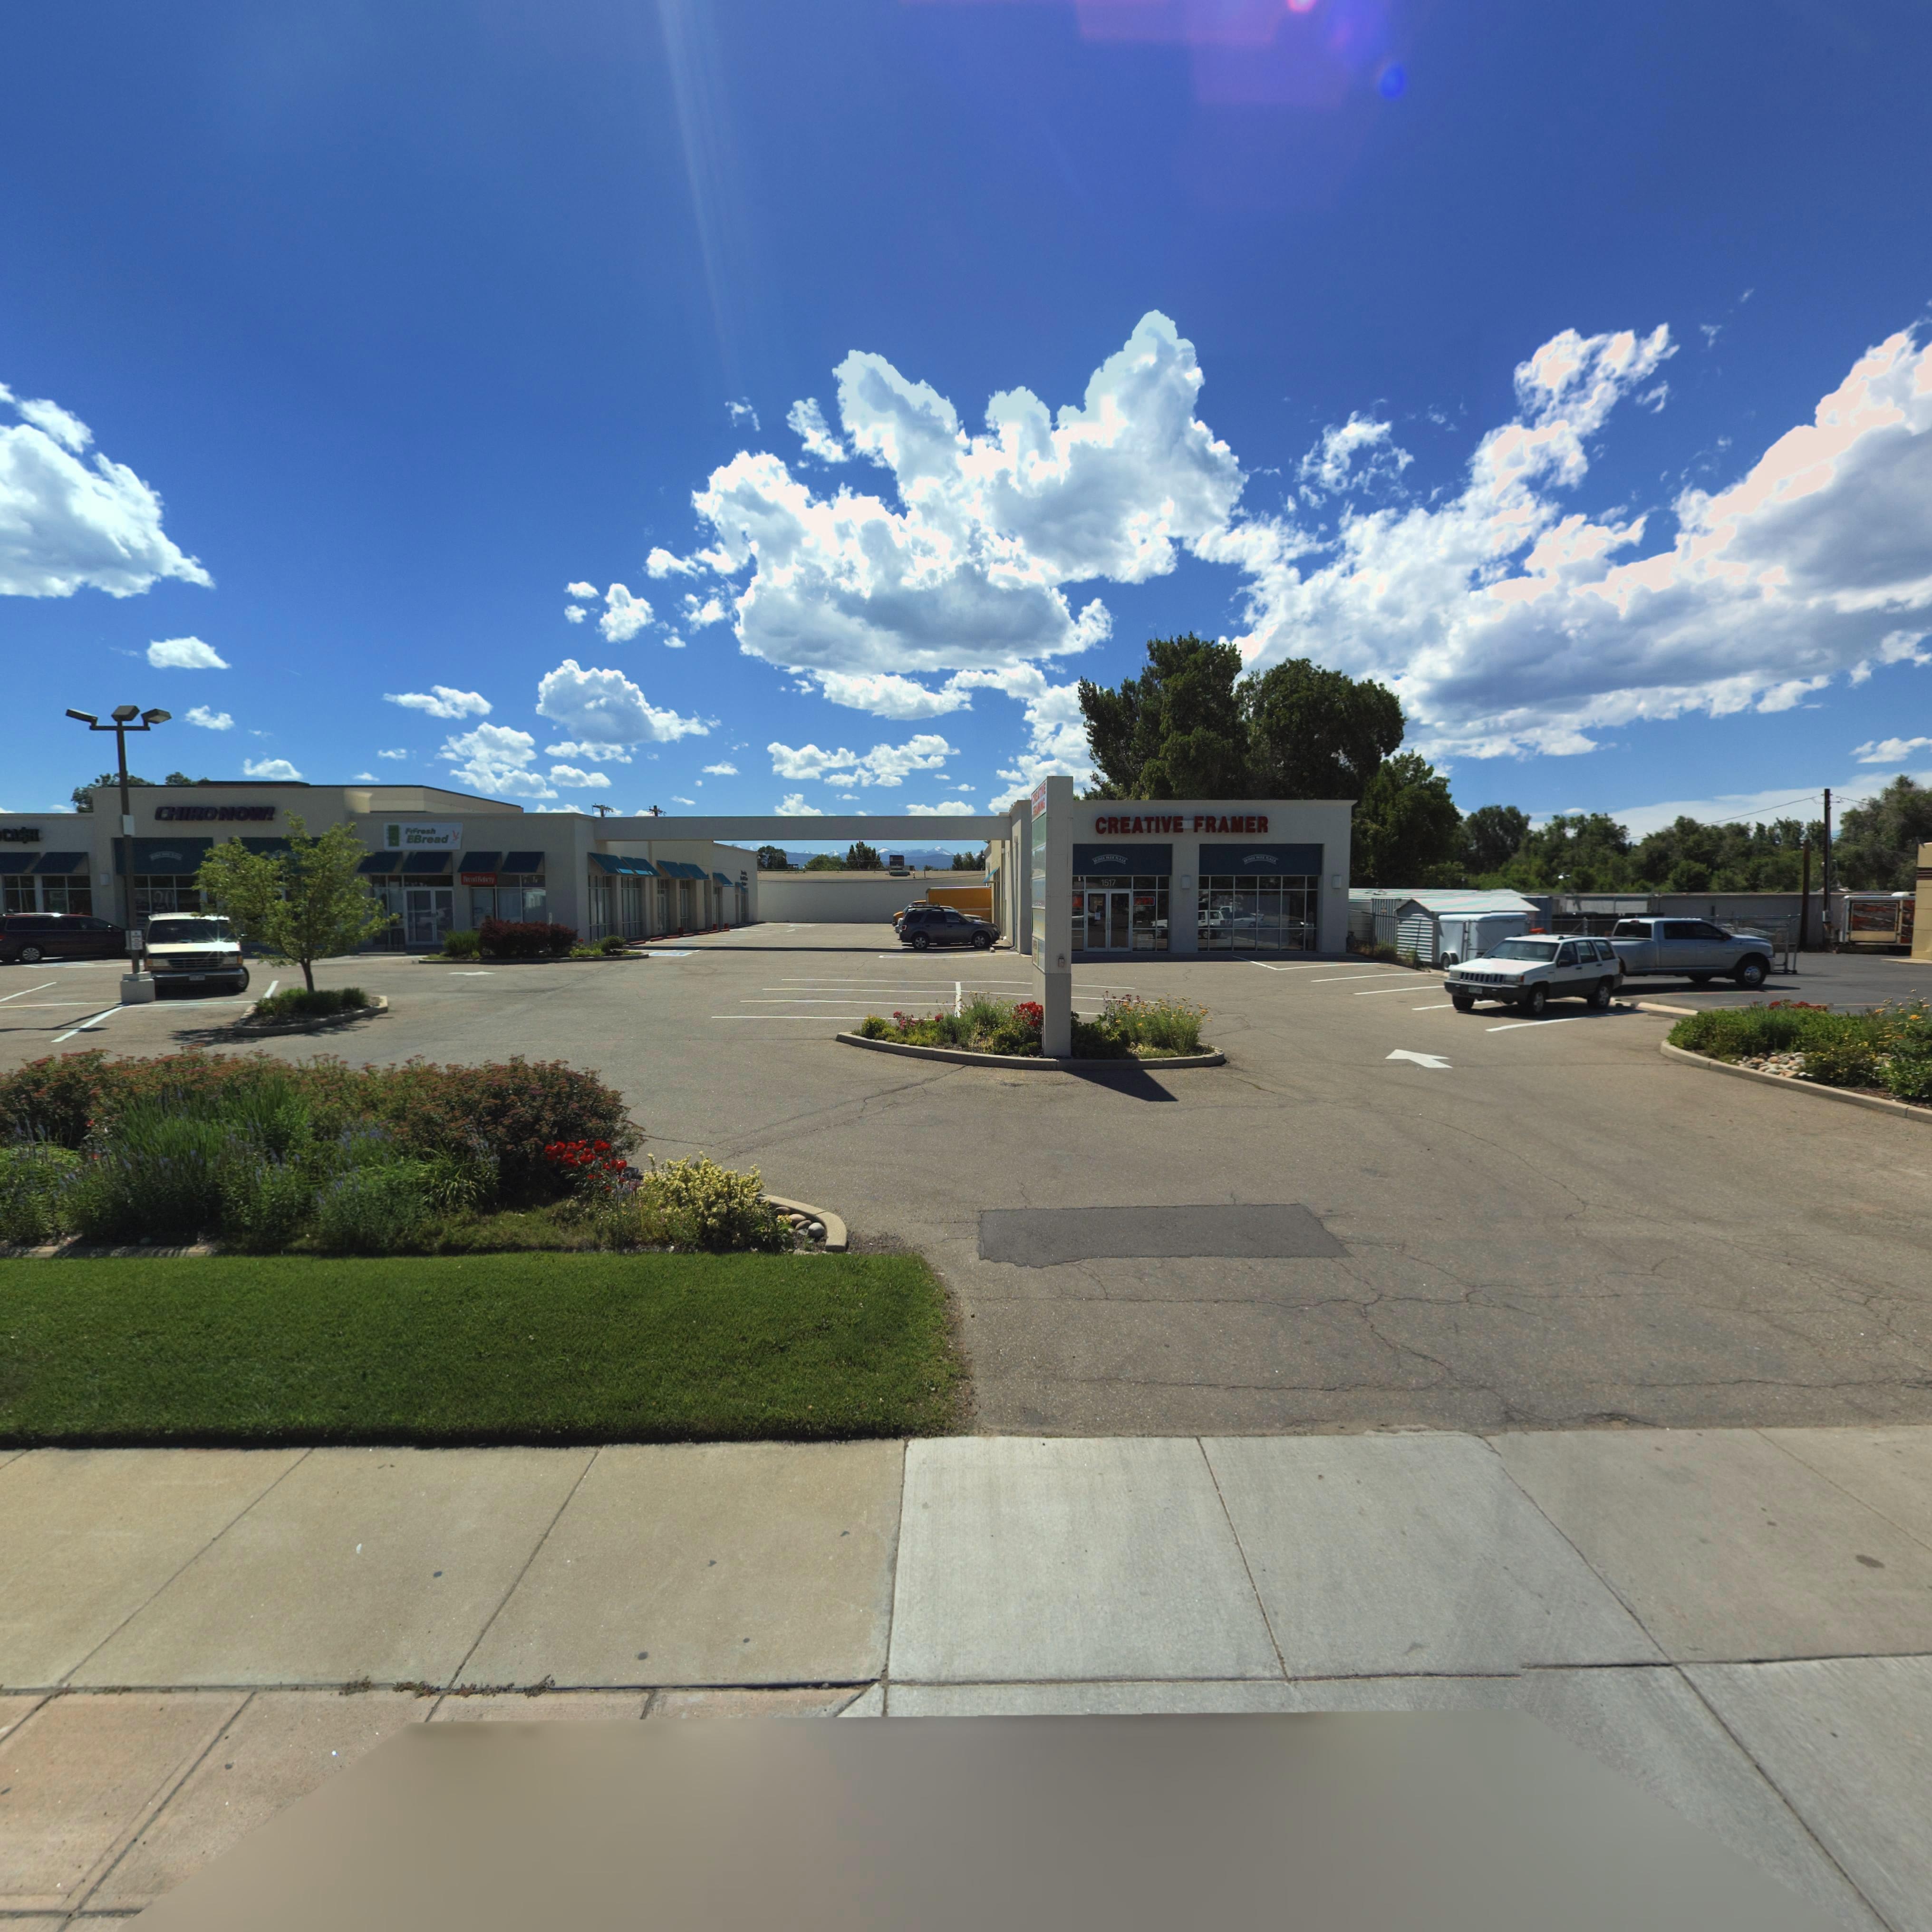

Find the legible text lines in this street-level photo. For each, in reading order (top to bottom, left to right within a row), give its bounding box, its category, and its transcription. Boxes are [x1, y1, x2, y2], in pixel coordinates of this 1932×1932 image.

[1031, 782, 1046, 805] BusinessName: CREATIVE
[154, 805, 275, 821] BusinessName: CHIRO NOW!
[1032, 797, 1045, 818] BusinessName: FR****G
[1095, 815, 1269, 834] BusinessName: CREATIVE FRAMER
[1, 826, 40, 844] BusinessName: CA*H
[1101, 879, 1116, 886] StreetNumber: 1517